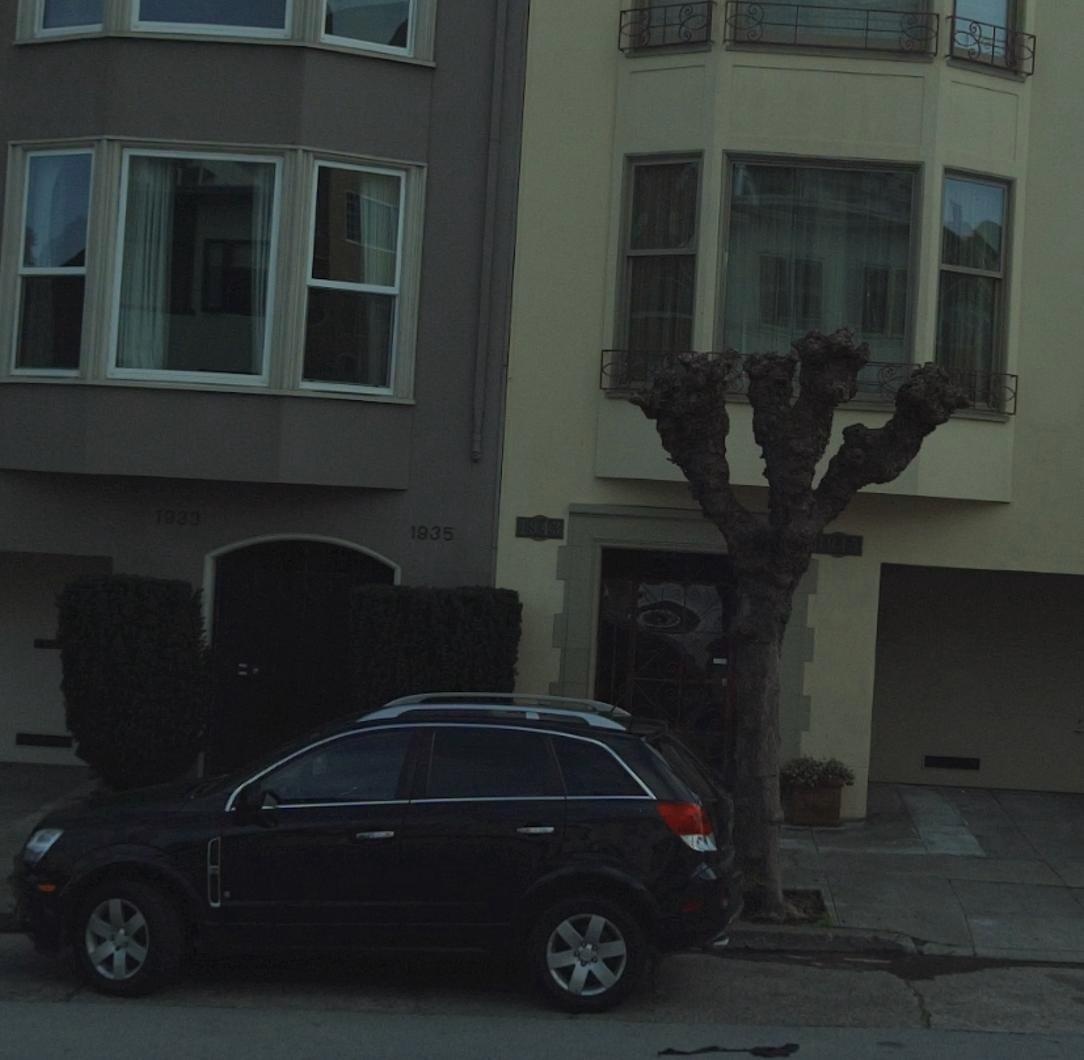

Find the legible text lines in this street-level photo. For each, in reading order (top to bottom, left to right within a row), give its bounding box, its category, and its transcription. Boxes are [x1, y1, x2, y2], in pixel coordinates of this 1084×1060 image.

[153, 507, 203, 530] StreetNumber: 1933
[407, 521, 457, 545] StreetNumber: 1935
[516, 517, 564, 538] StreetNumber: 1943